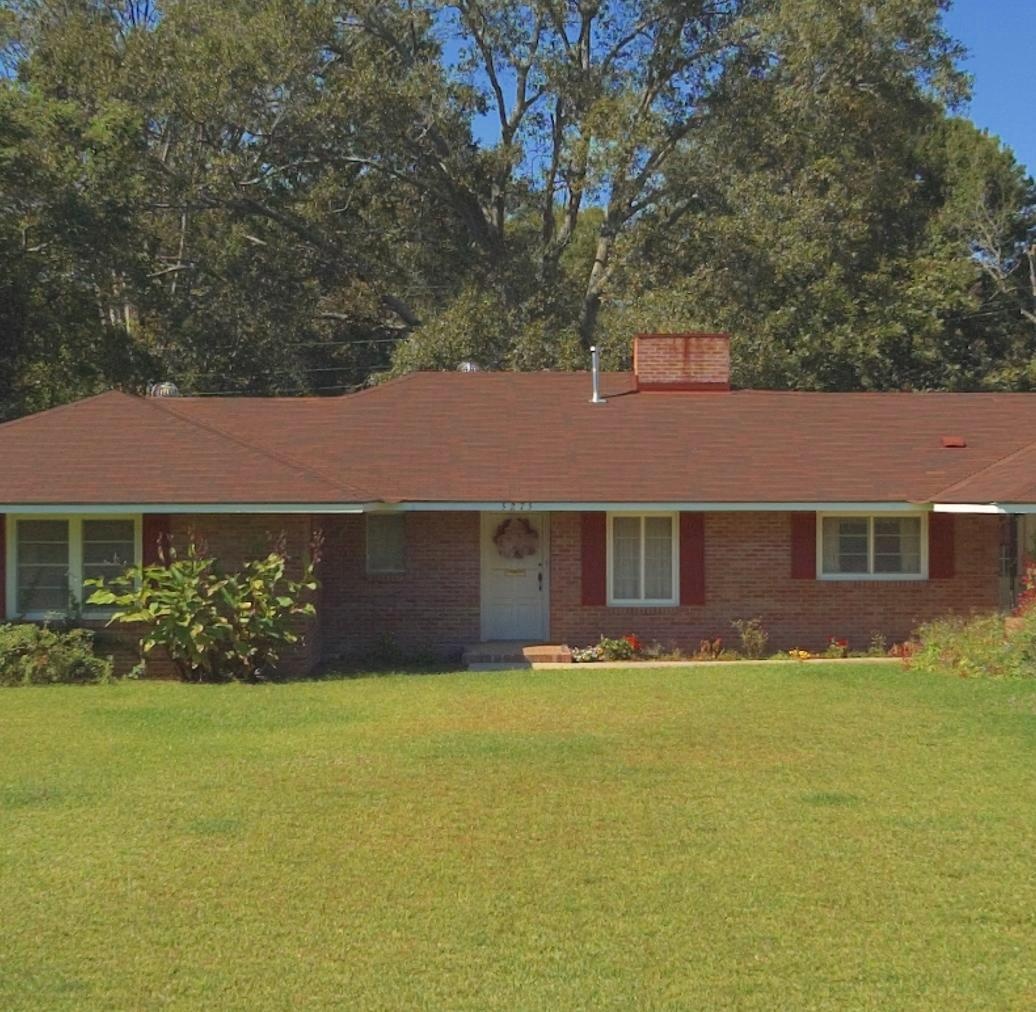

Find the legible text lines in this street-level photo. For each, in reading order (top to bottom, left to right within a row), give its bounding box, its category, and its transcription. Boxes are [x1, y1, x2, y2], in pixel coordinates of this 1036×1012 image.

[500, 500, 536, 512] StreetNumber: 5273